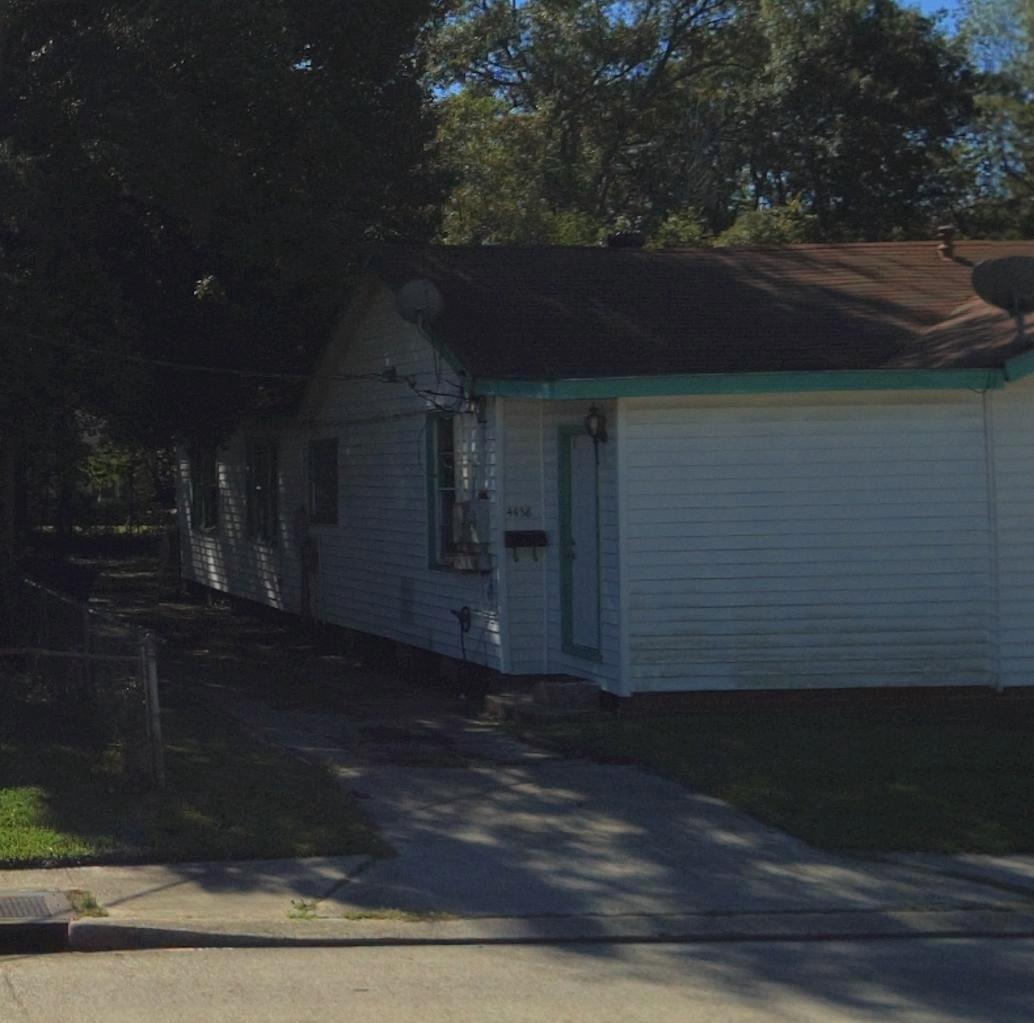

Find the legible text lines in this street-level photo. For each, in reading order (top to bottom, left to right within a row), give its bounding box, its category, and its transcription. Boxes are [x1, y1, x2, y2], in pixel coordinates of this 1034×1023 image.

[506, 506, 532, 518] StreetNumber: 4458